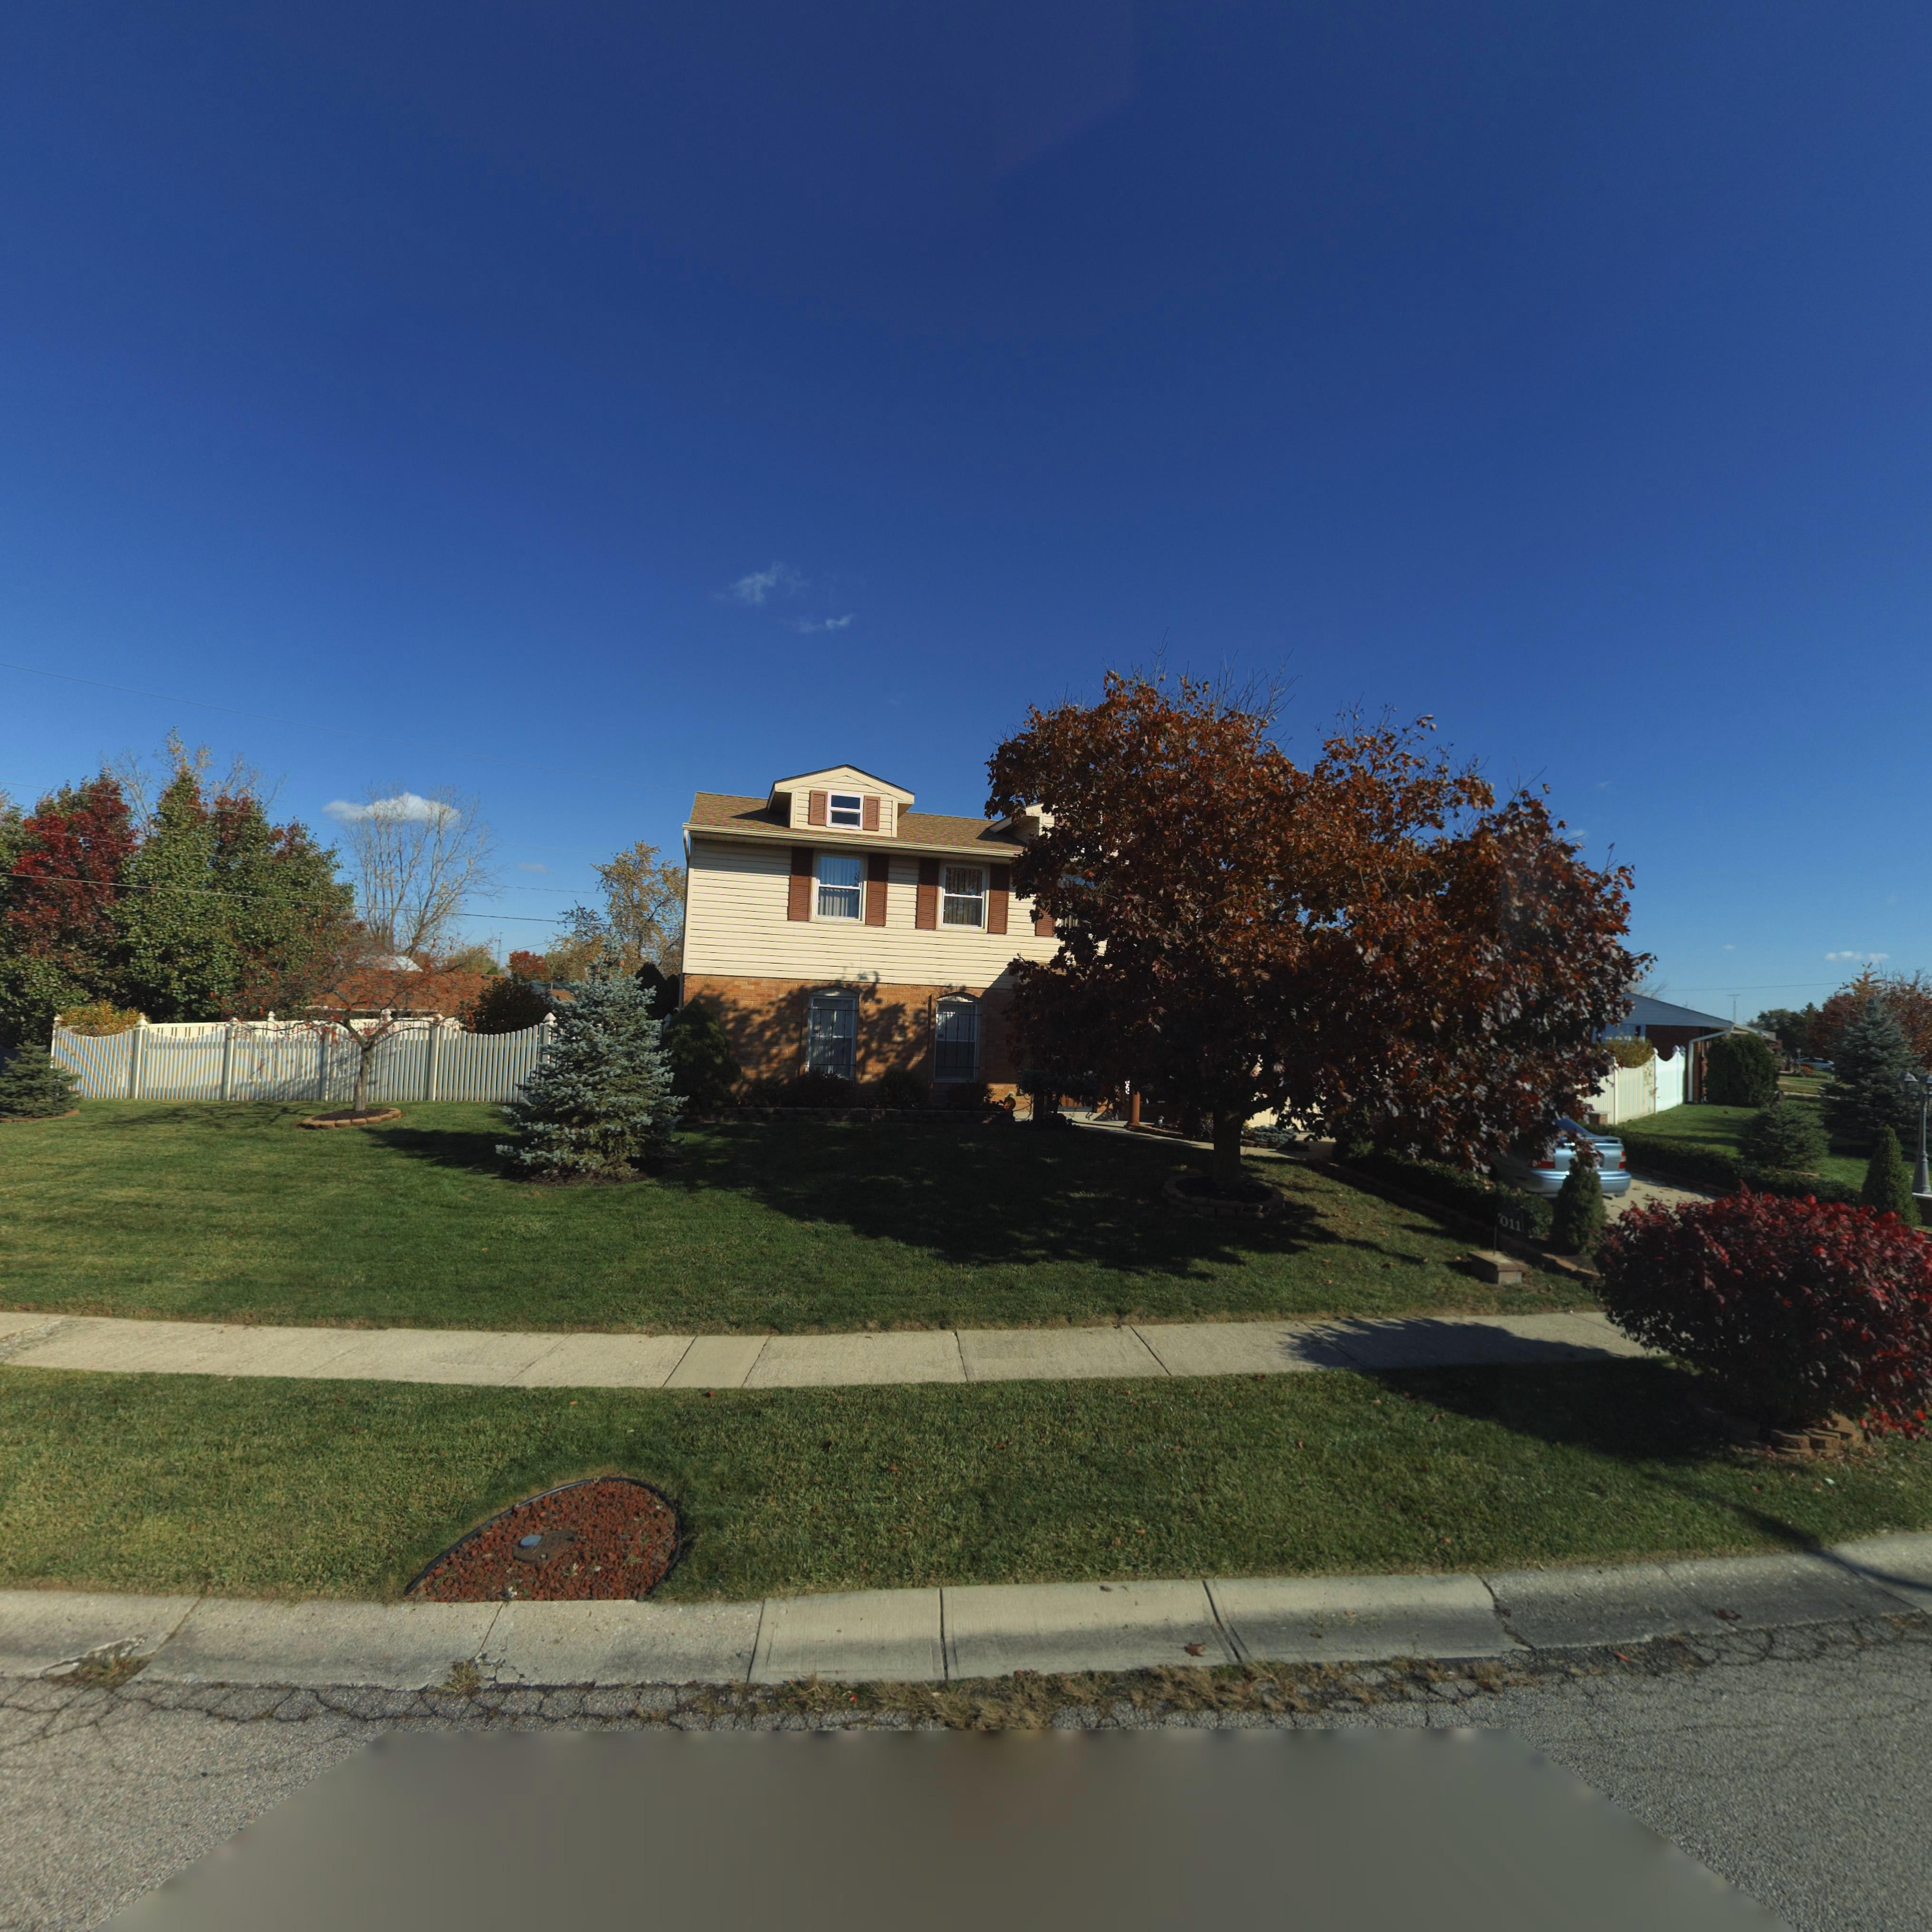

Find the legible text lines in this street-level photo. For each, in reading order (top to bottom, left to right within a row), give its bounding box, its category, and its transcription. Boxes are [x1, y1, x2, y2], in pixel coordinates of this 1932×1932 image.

[1499, 1215, 1522, 1233] StreetNumber: 011